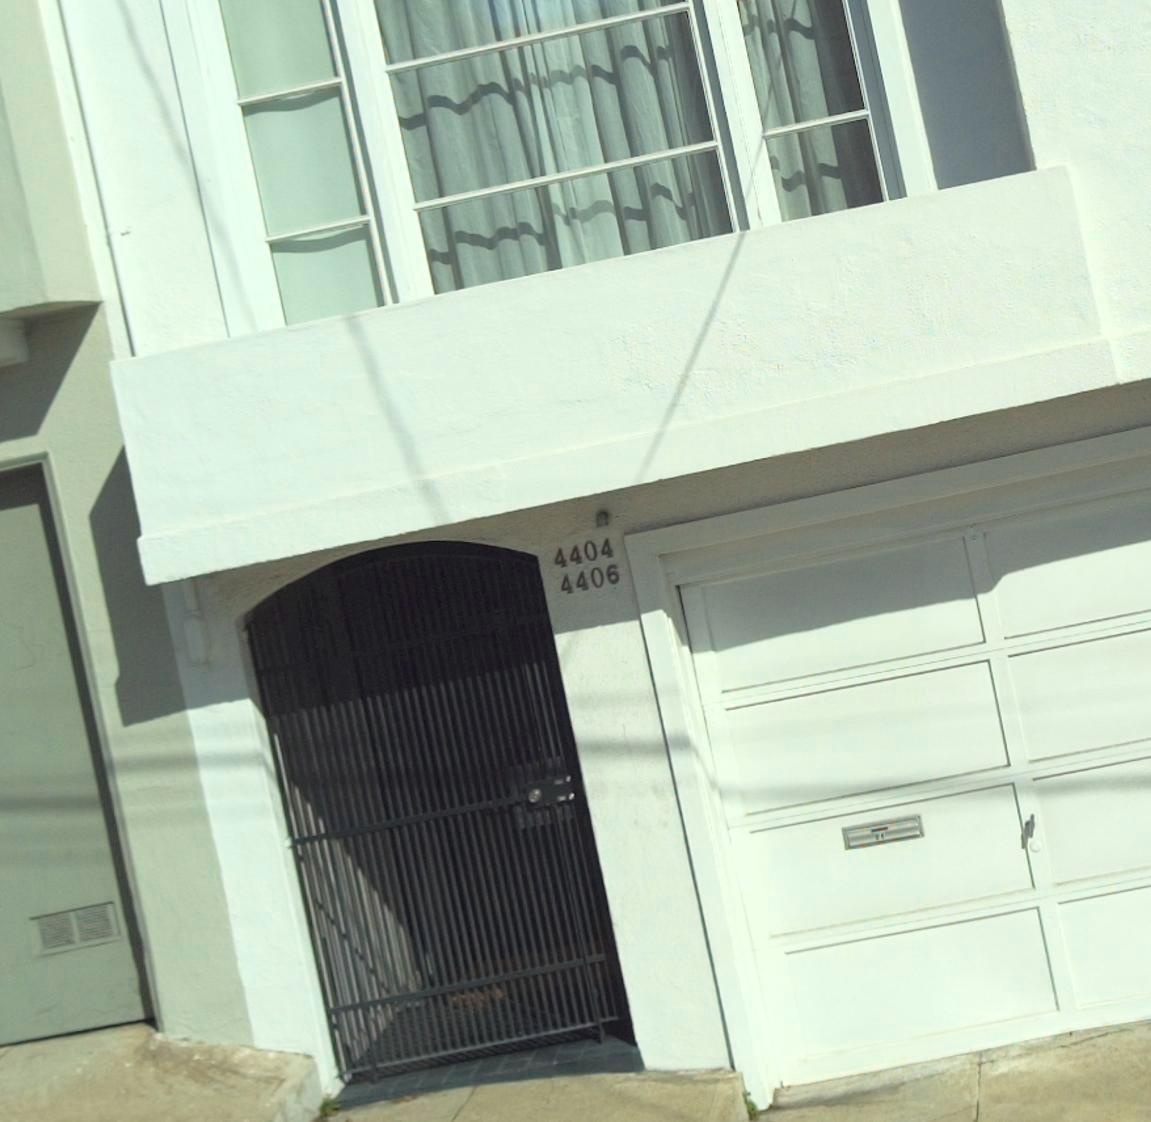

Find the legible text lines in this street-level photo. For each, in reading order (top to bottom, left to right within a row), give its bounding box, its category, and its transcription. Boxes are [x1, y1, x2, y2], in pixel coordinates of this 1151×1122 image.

[550, 534, 617, 572] StreetNumber: 4404
[555, 560, 623, 599] StreetNumber: 4406